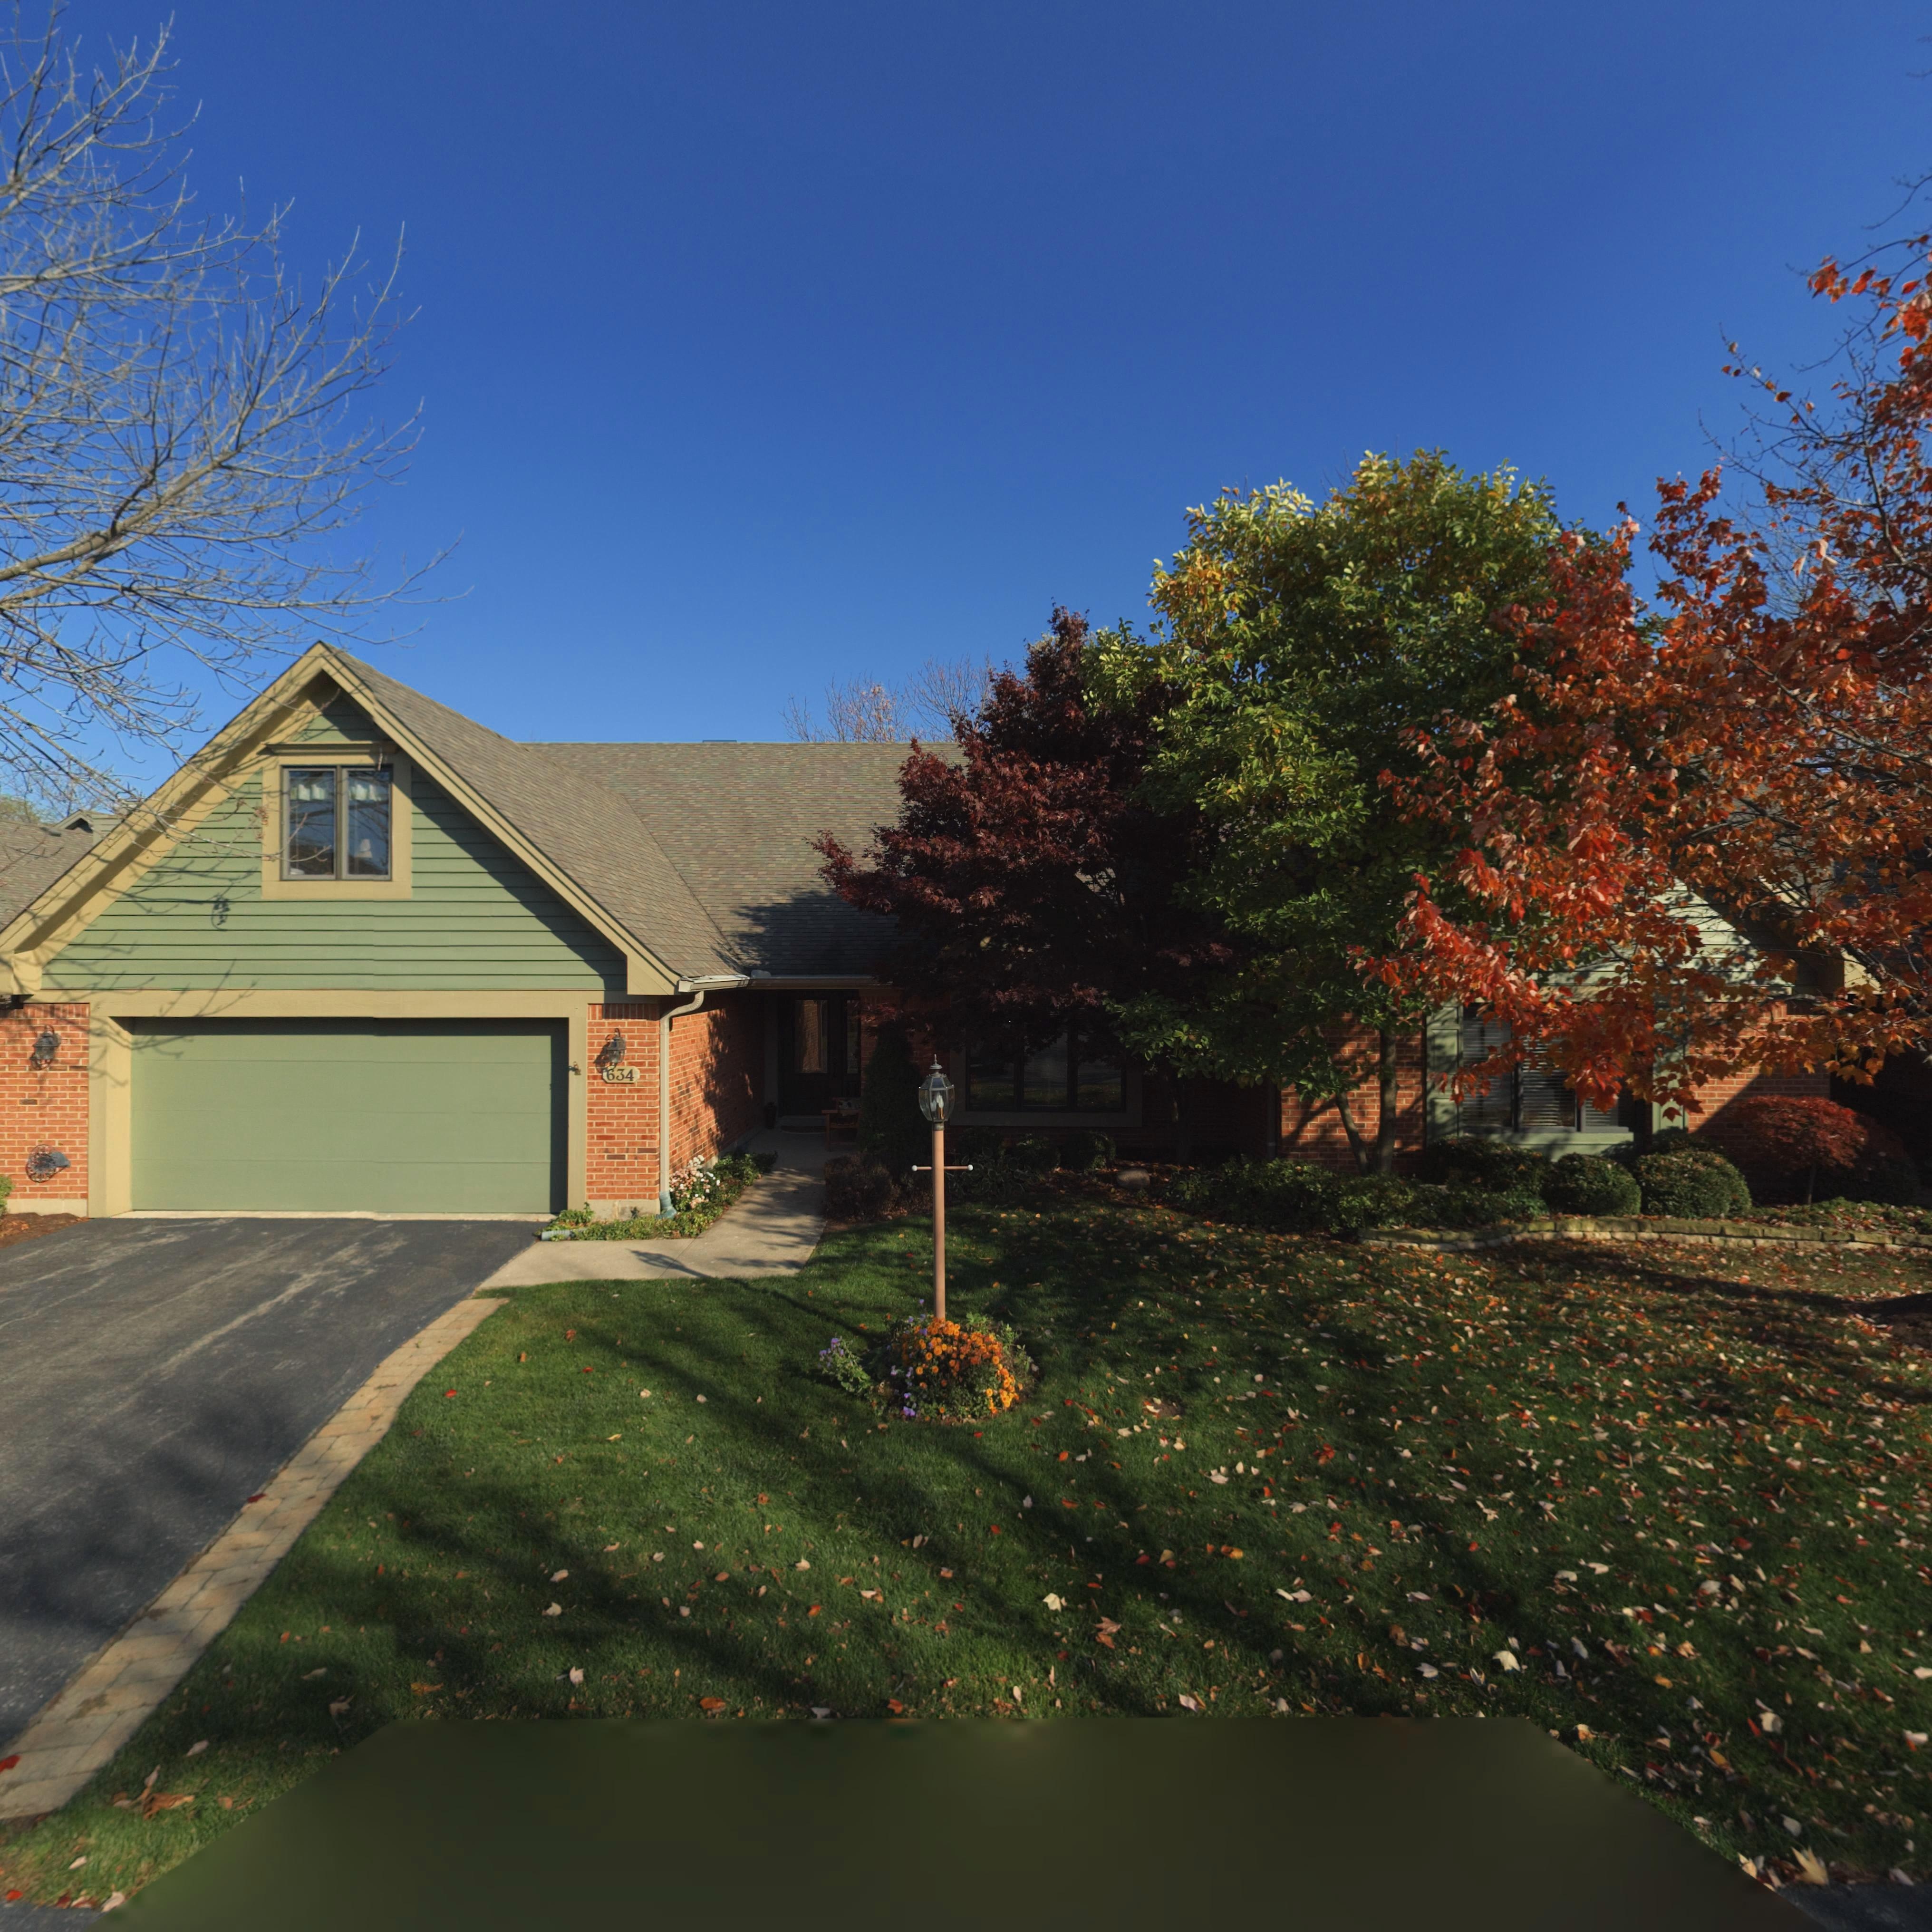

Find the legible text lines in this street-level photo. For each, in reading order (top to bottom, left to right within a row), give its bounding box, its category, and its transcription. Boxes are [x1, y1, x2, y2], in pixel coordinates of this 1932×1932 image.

[606, 1067, 636, 1082] StreetNumber: 634